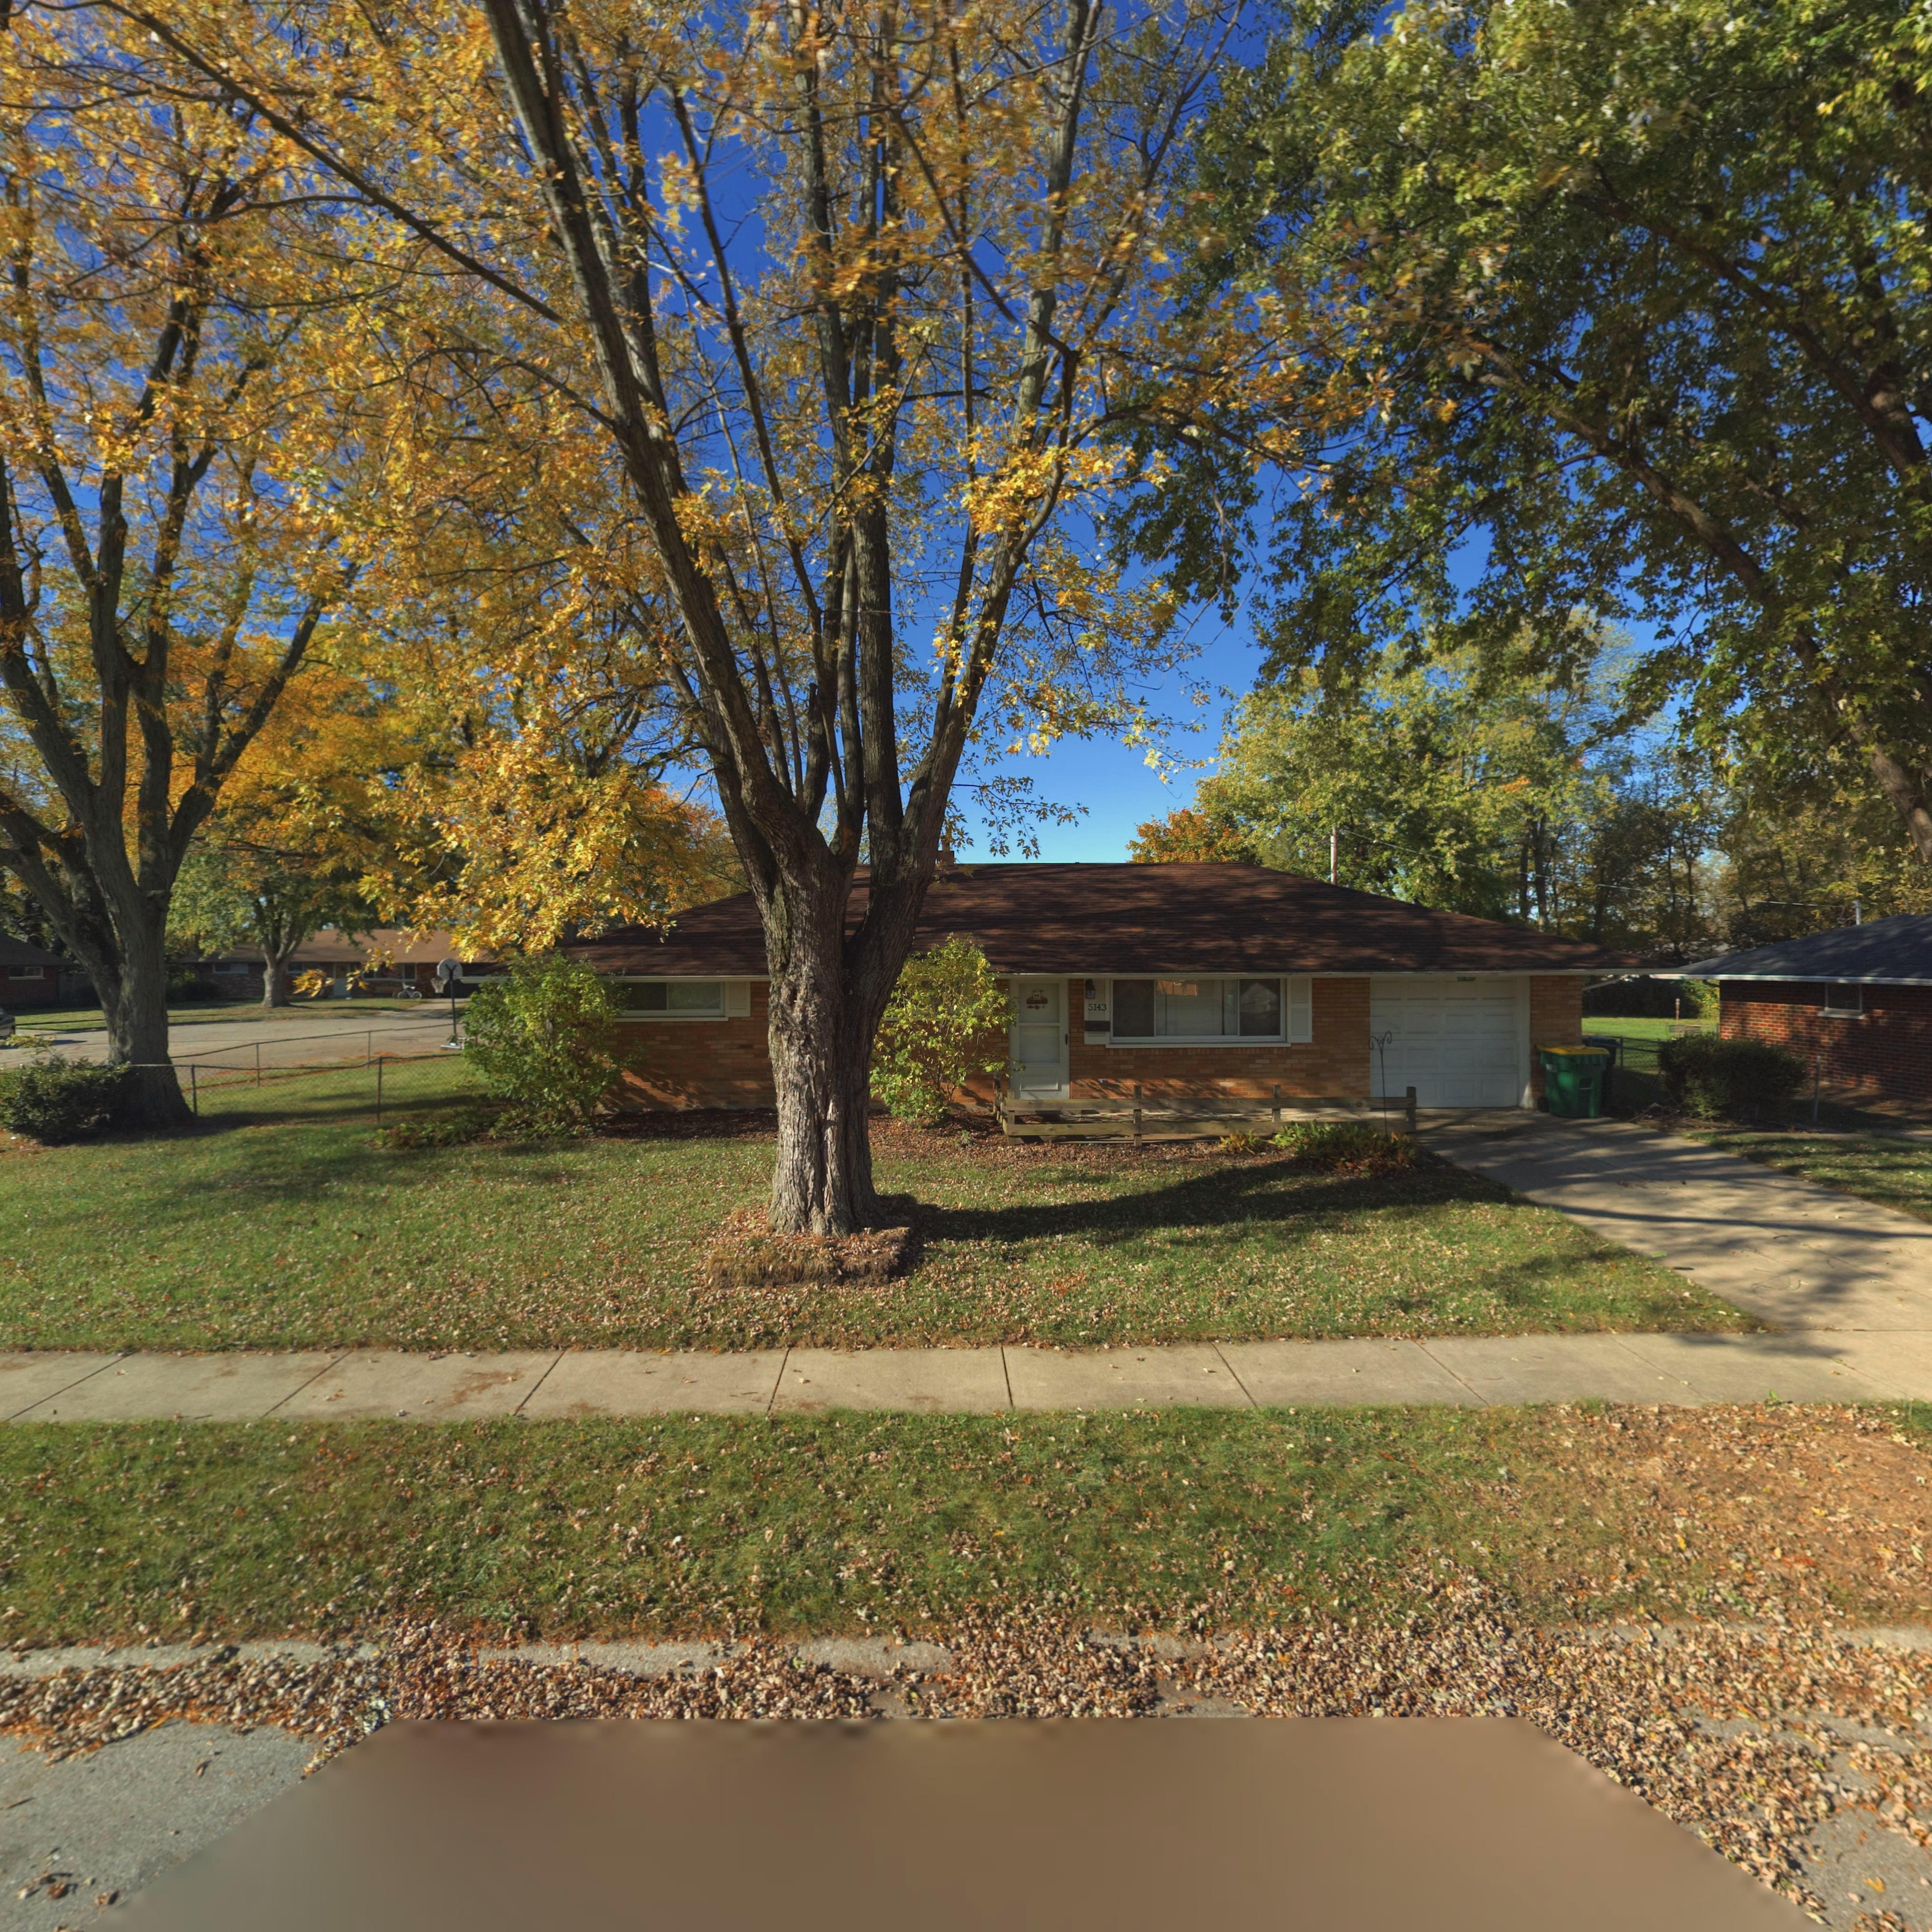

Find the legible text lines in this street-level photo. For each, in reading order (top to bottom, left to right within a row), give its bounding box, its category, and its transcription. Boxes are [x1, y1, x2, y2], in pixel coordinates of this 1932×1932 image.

[1087, 1003, 1107, 1011] StreetNumber: 5143